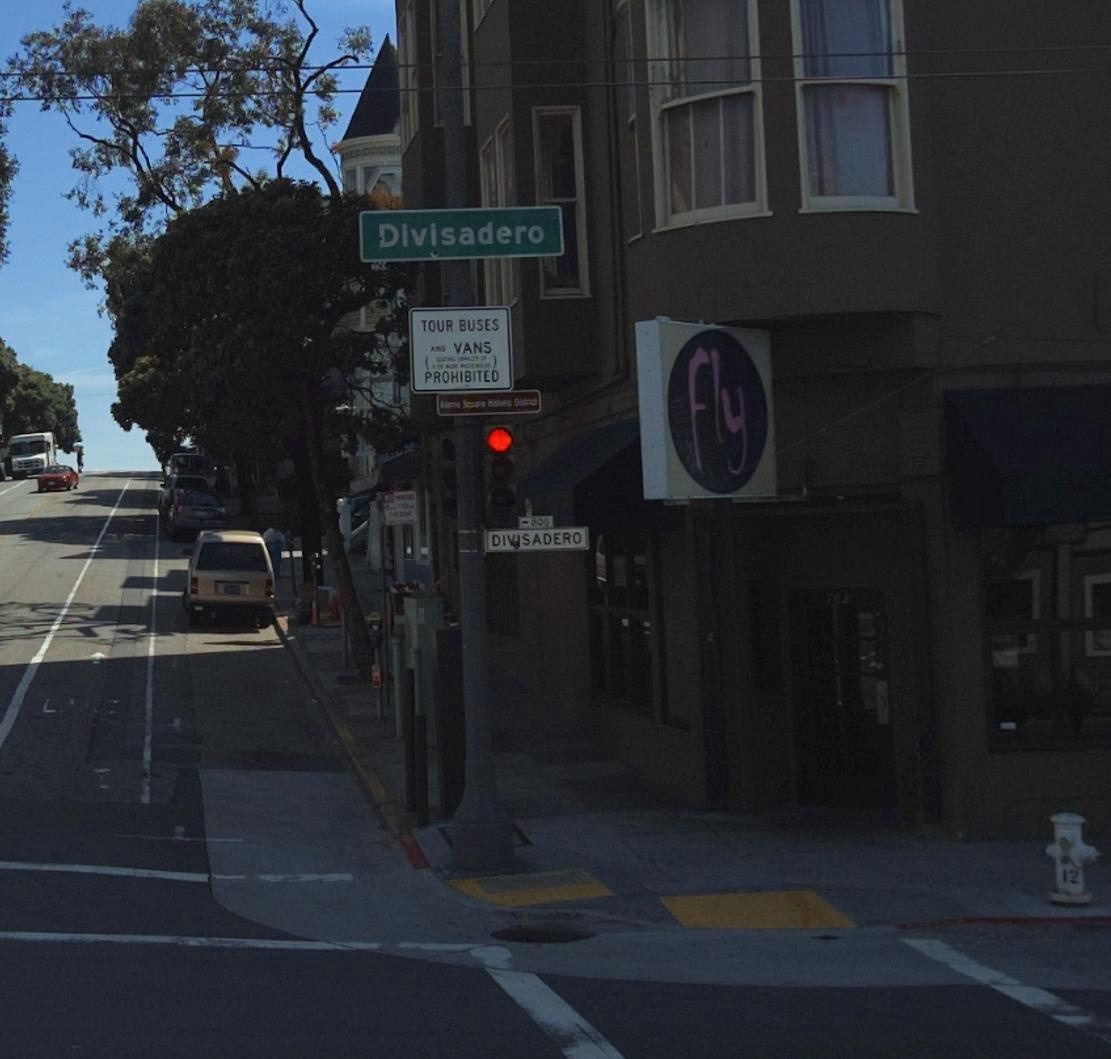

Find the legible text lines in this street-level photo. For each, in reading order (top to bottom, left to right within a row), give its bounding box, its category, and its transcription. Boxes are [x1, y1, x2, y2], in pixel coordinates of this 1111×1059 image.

[377, 220, 545, 249] StreetName: Divisadero
[418, 317, 501, 332] None: TOUR BUSES
[428, 339, 491, 355] None: AND VANS
[422, 369, 499, 382] None: PROHIBITED
[684, 345, 746, 475] BusinessName: Fly
[518, 517, 554, 529] StreetNumberRange: <-800
[488, 531, 585, 547] StreetName: DIVISADERO
[823, 590, 850, 605] StreetNumber: 762
[1058, 865, 1079, 884] None: 12